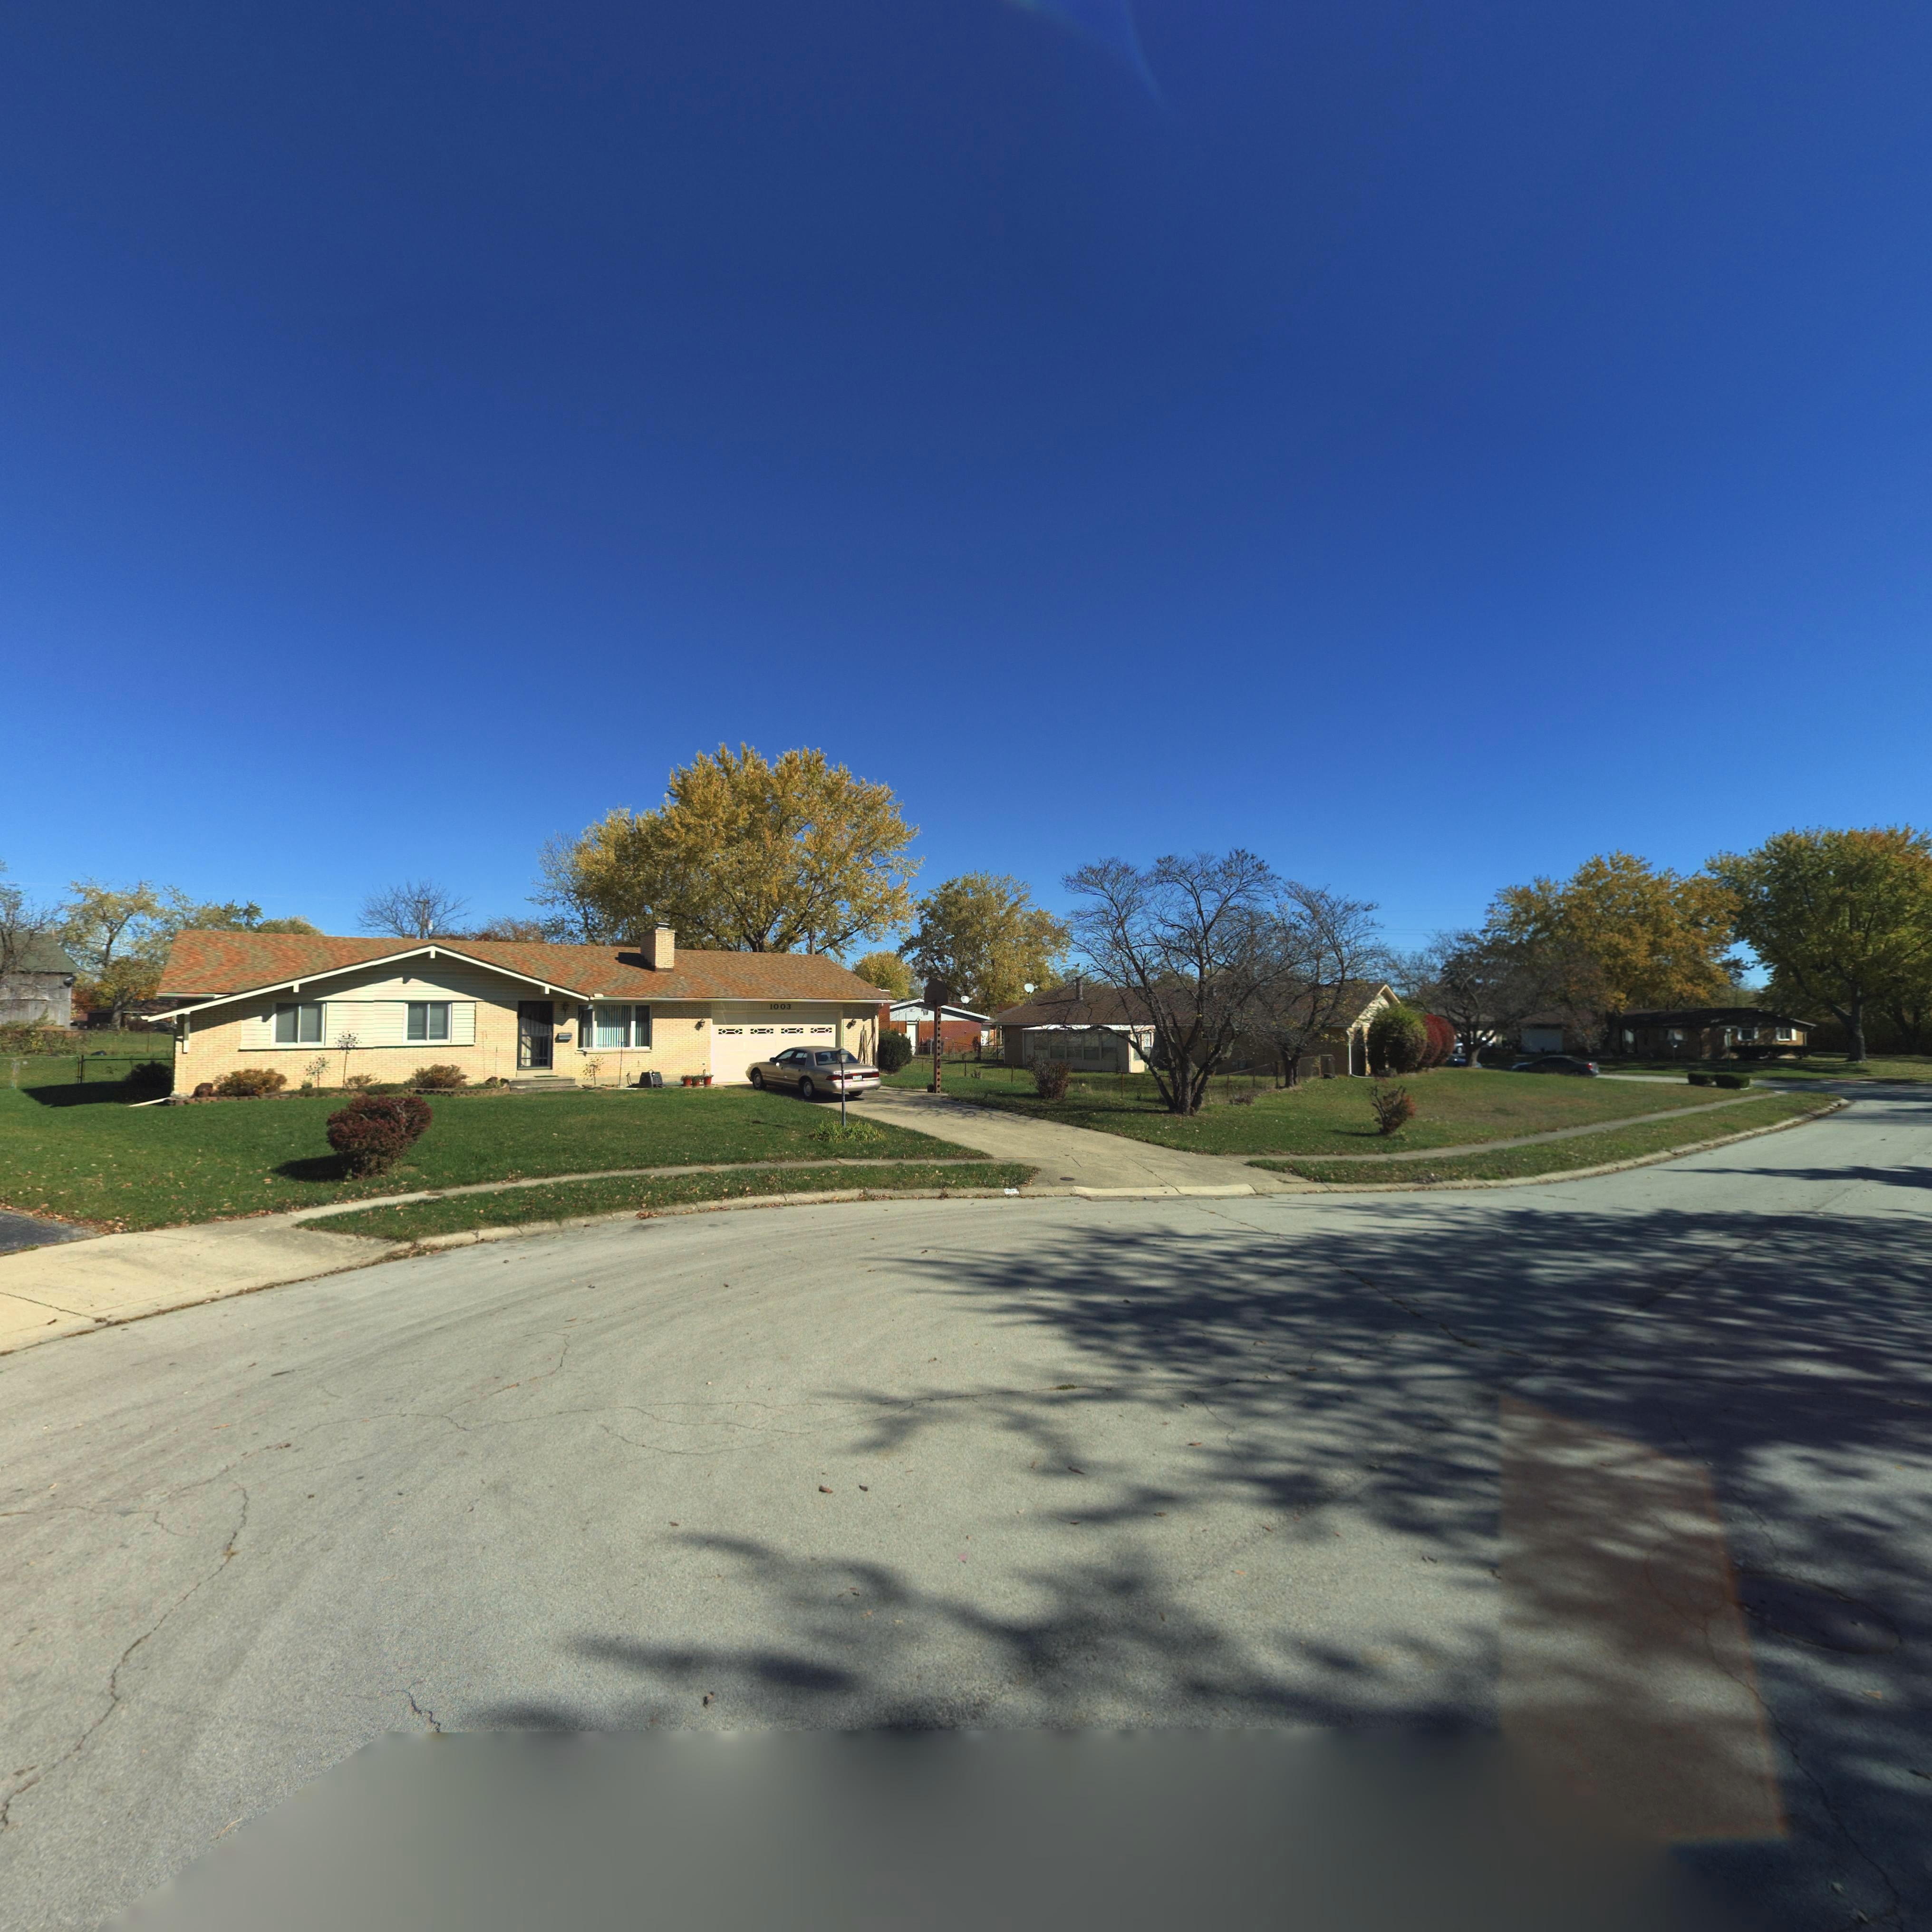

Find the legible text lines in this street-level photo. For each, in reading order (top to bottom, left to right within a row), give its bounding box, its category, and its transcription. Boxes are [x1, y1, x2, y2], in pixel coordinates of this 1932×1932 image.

[770, 1003, 791, 1010] StreetNumber: 1003
[1005, 1188, 1015, 1193] StreetNumber: 100